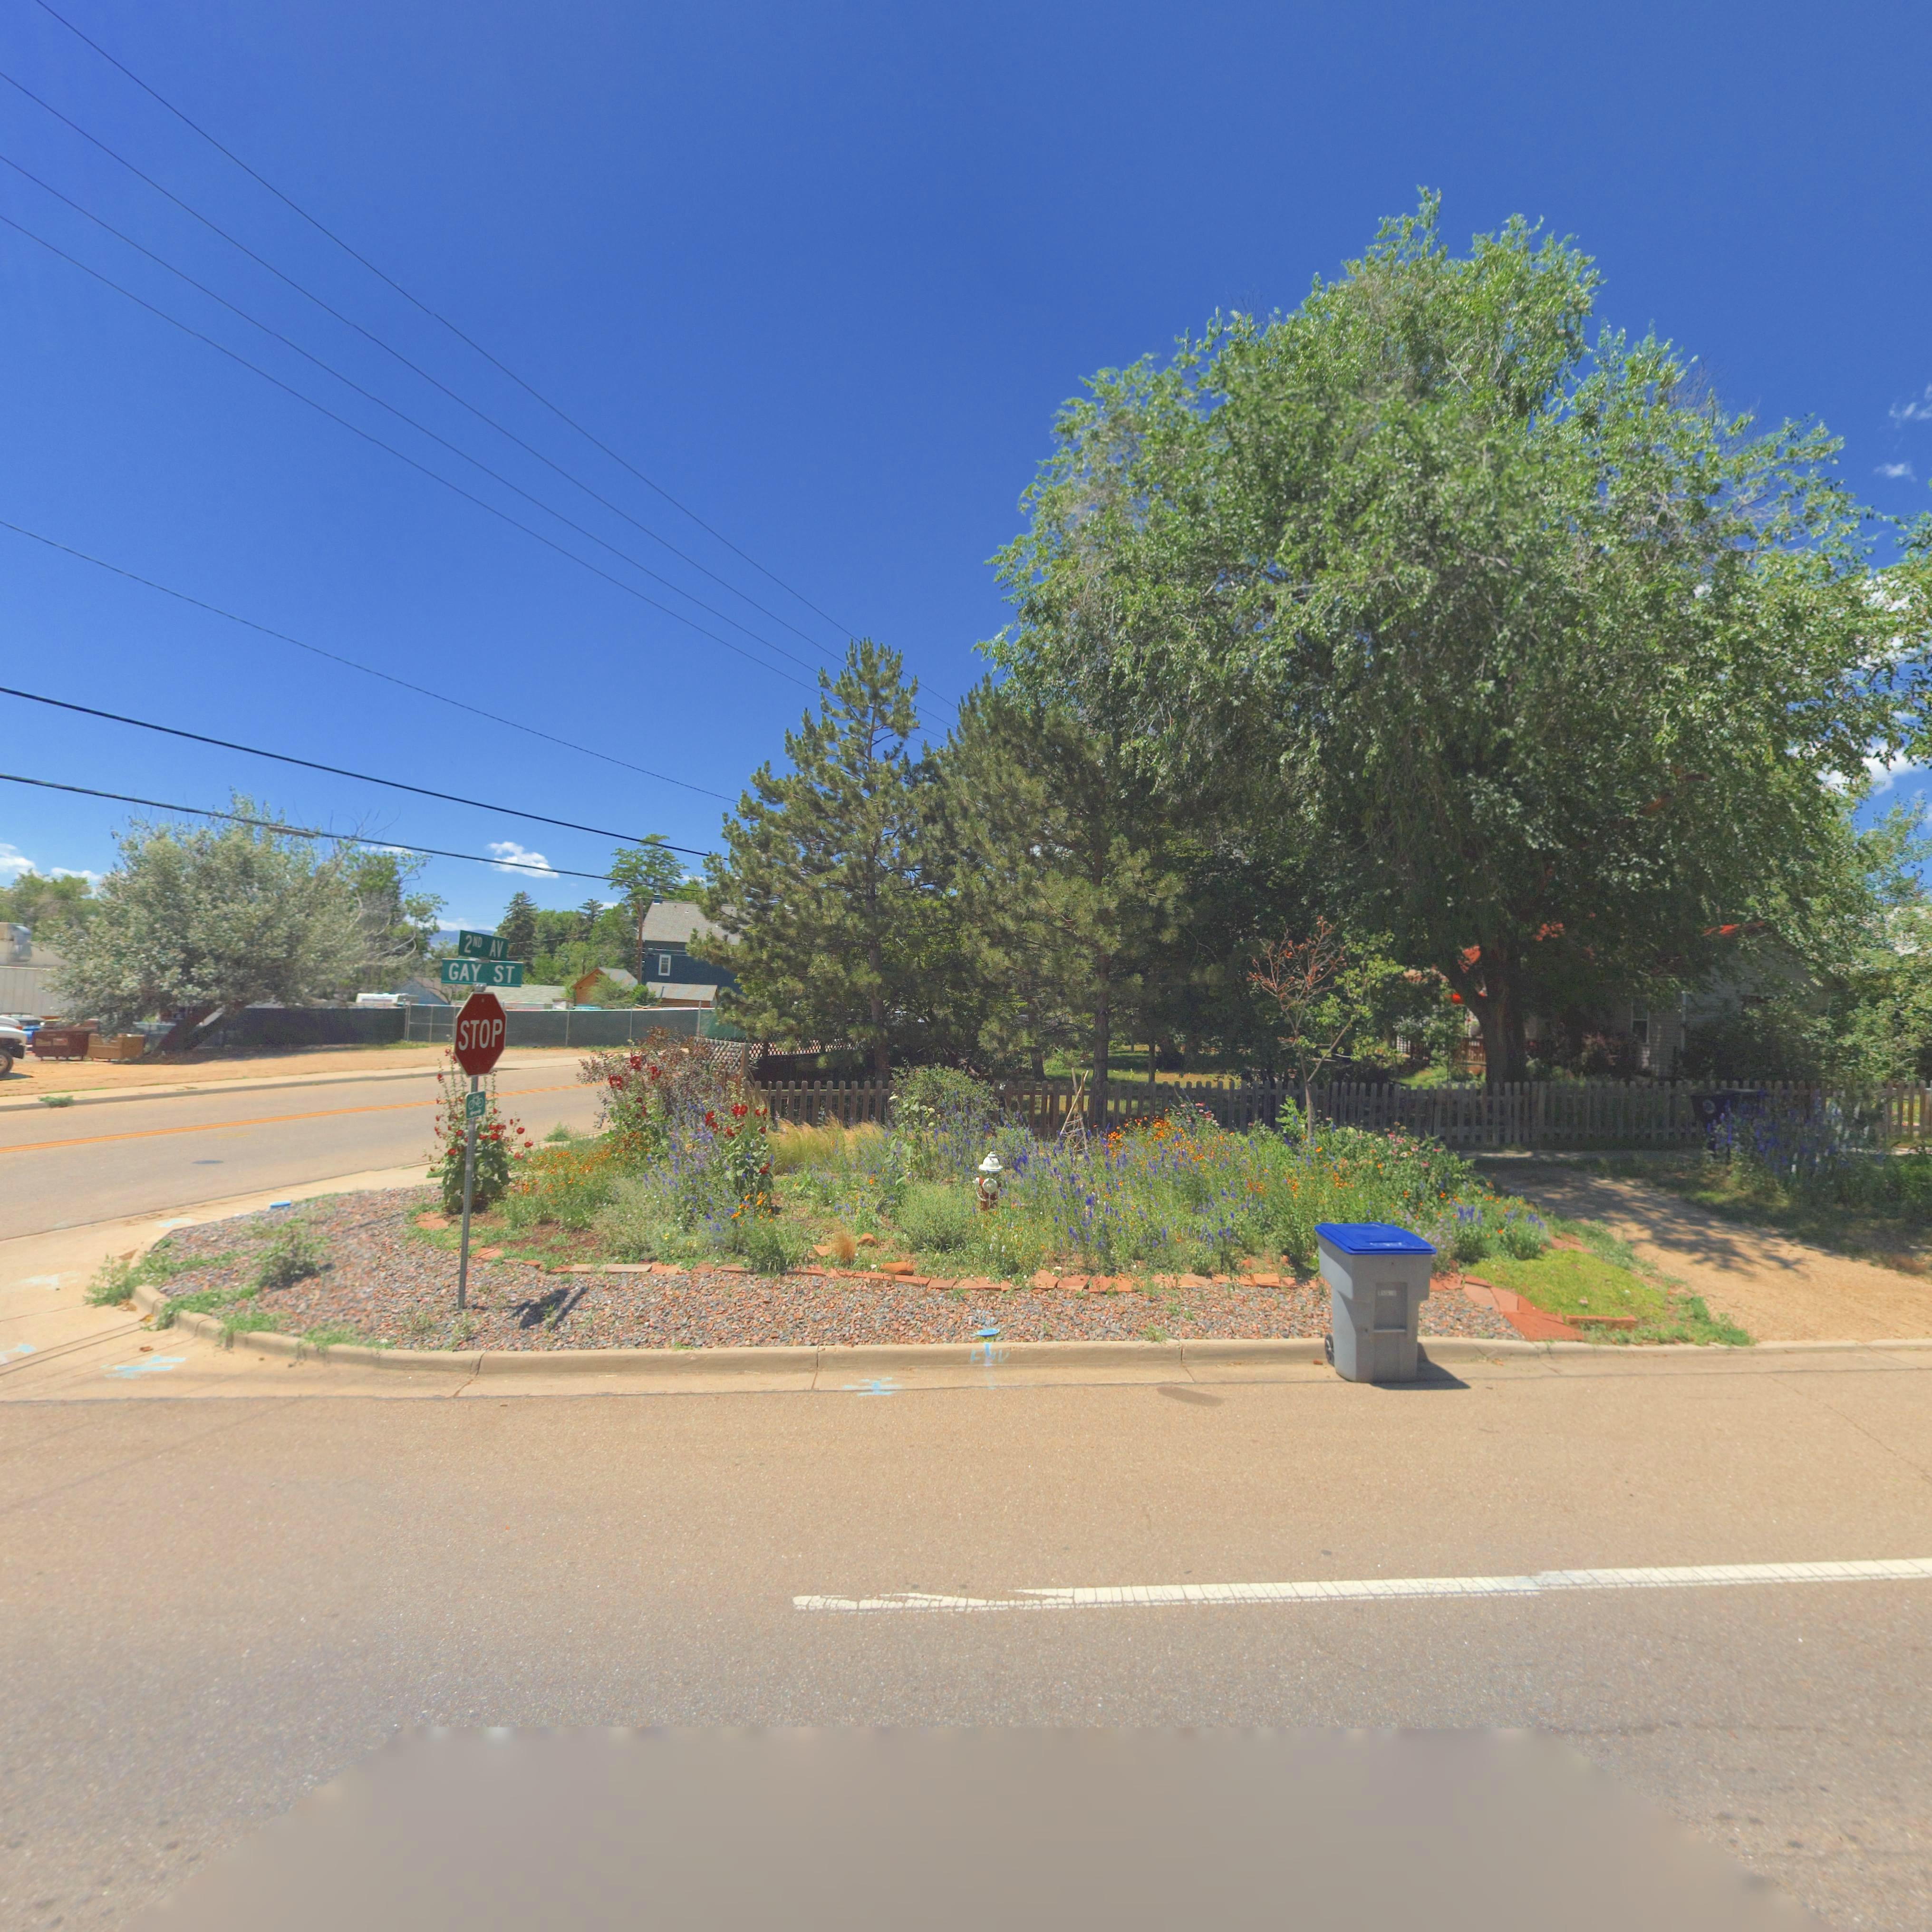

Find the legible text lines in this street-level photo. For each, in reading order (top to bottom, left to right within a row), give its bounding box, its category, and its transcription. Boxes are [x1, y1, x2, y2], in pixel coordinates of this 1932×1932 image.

[464, 934, 504, 958] StreetName: 2ND AV
[448, 962, 515, 984] StreetName: GAY ST